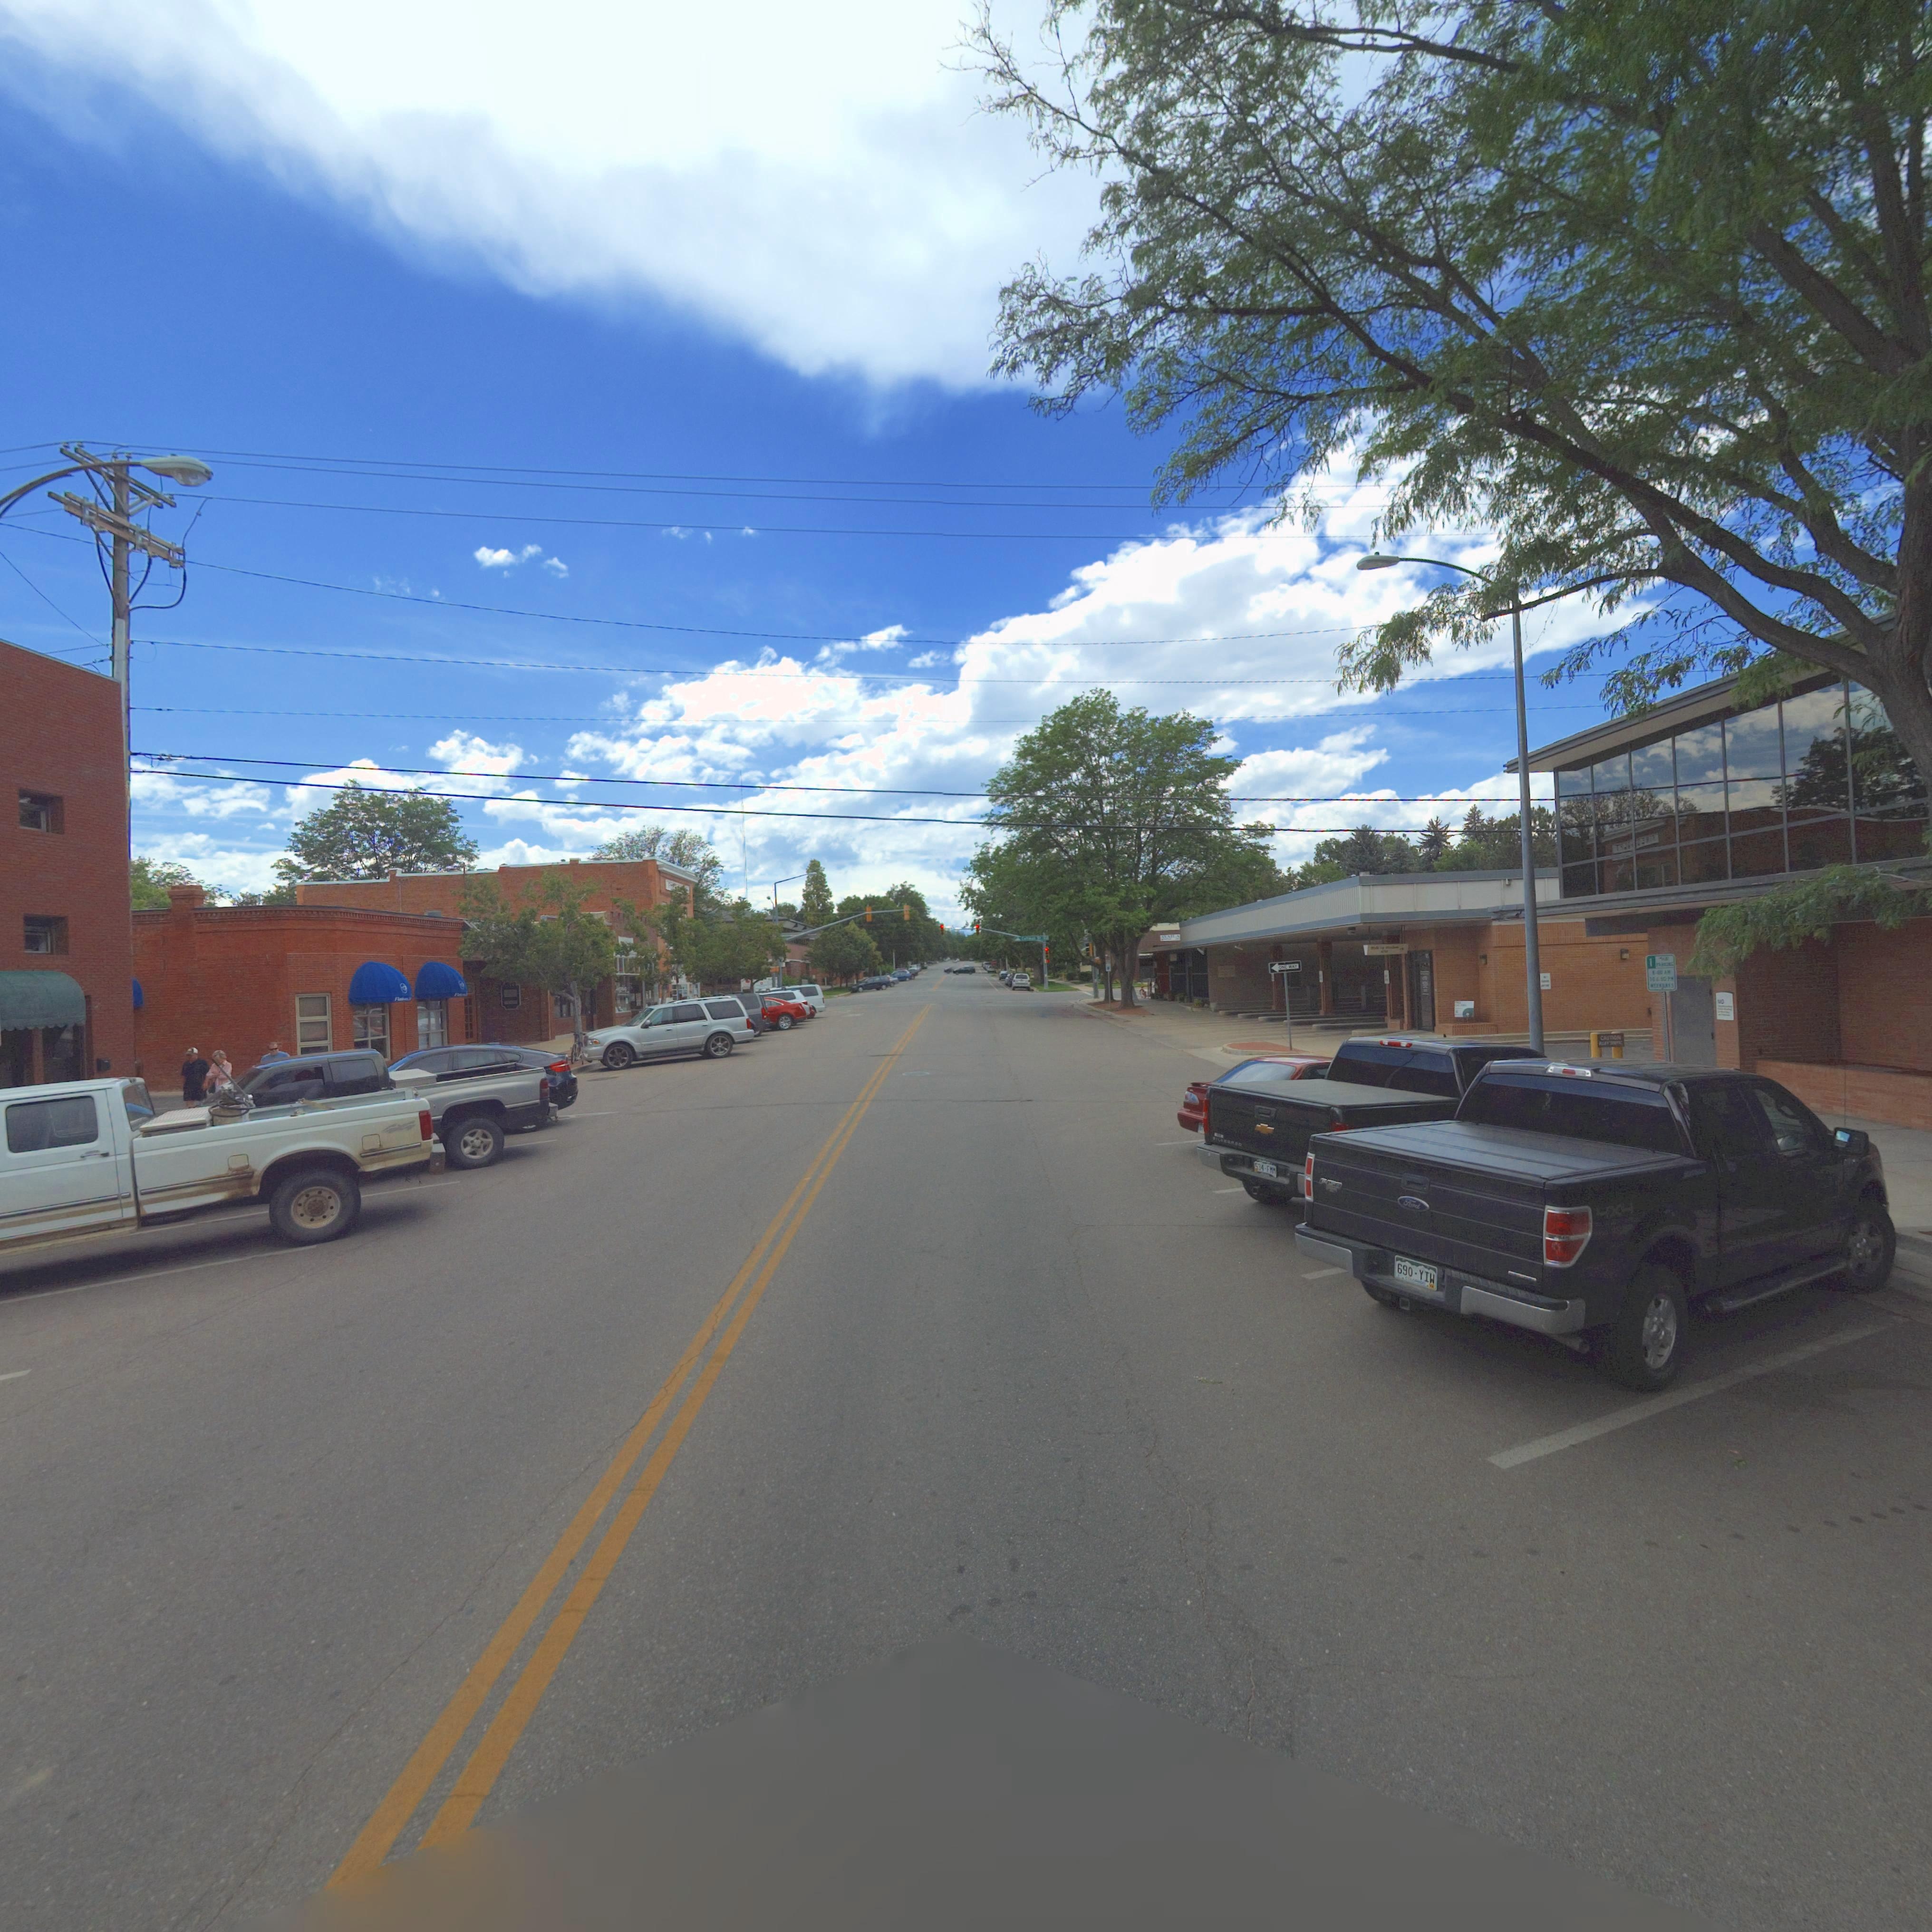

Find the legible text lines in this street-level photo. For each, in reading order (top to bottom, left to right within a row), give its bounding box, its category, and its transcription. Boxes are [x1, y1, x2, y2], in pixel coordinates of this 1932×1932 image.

[1021, 936, 1041, 940] StreetName: C****** S*
[1161, 934, 1179, 938] BusinessName: ALAHA
[615, 984, 627, 993] BusinessName: A*******
[394, 996, 411, 1001] BusinessName: FT*****